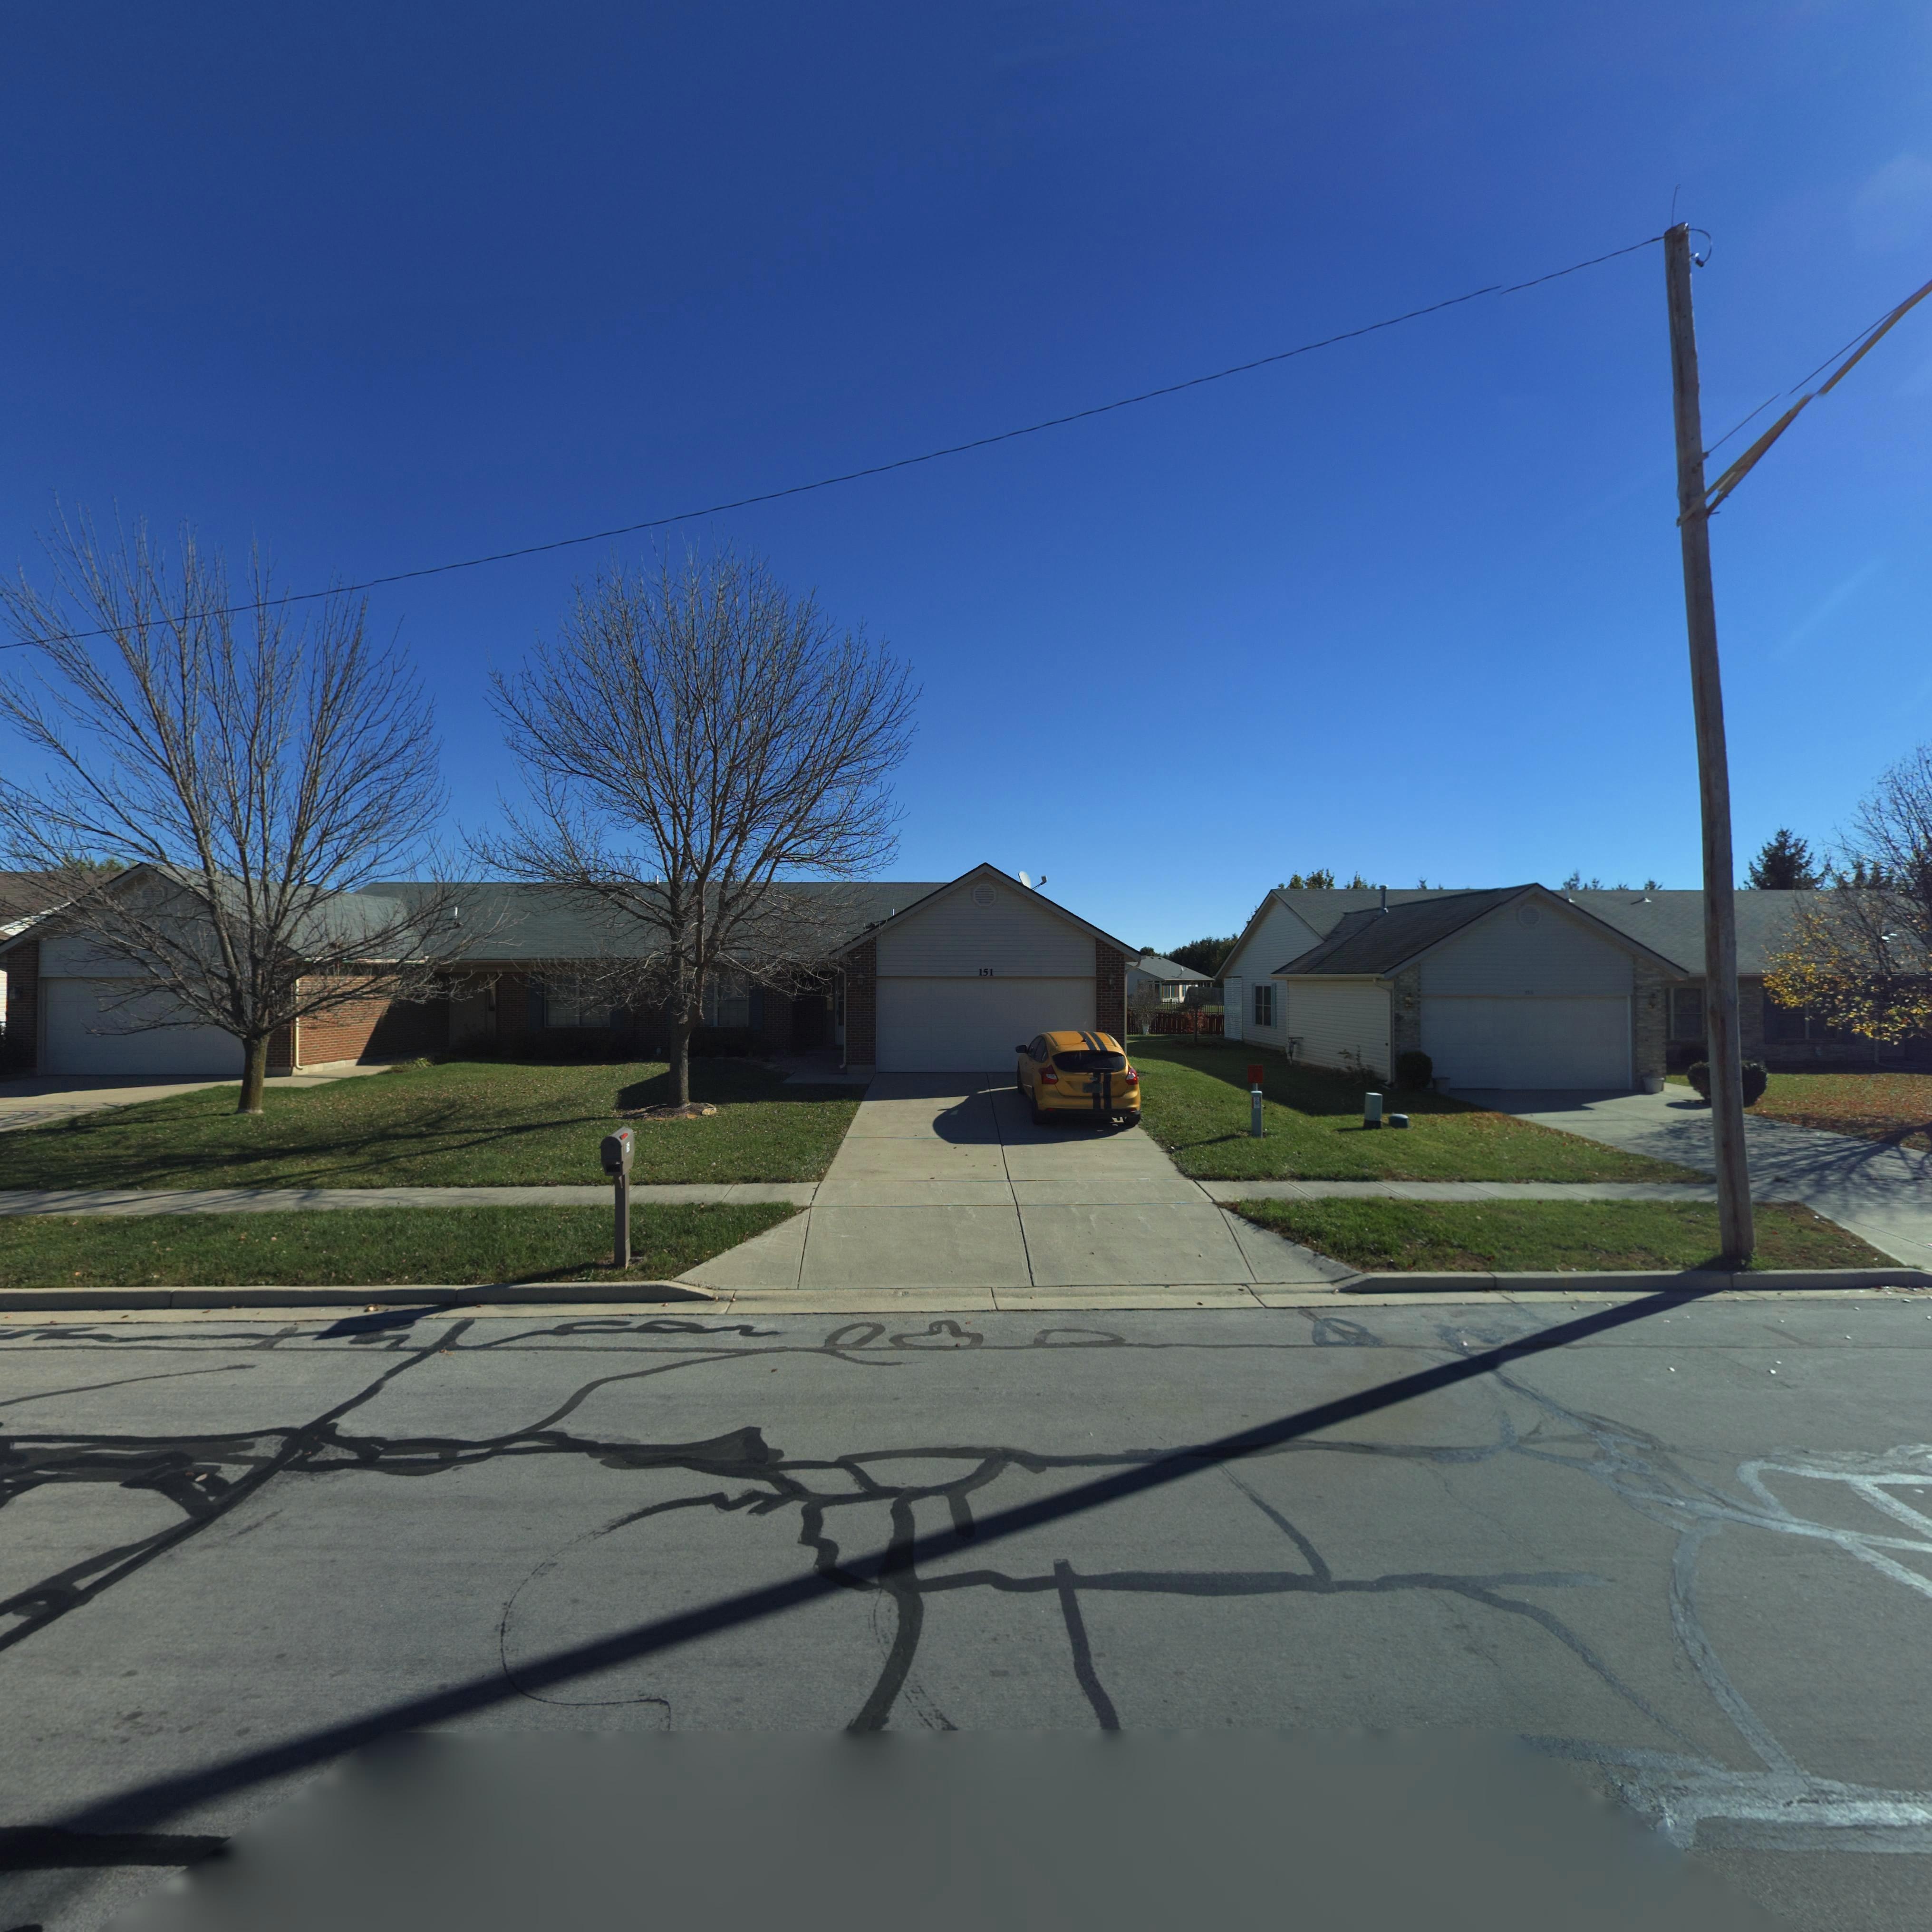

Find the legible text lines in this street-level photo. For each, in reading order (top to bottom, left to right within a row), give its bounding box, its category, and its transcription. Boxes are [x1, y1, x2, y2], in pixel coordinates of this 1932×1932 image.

[978, 968, 993, 976] StreetNumber: 151